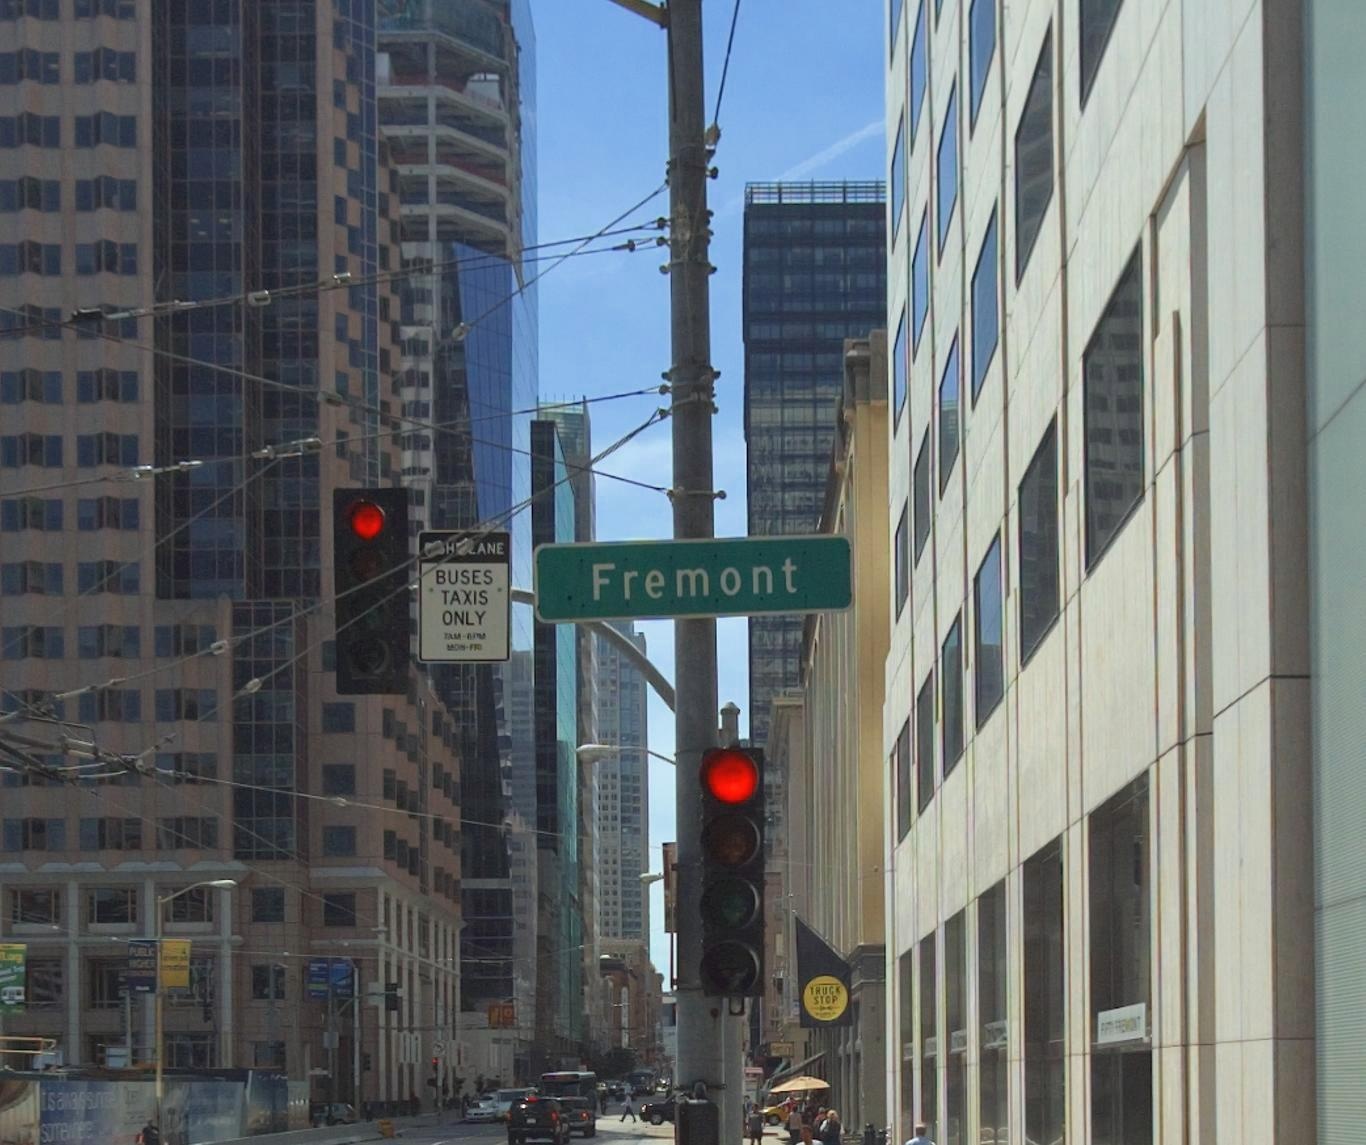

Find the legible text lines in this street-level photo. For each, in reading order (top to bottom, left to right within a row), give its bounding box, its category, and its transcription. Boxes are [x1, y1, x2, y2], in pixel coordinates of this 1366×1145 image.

[446, 540, 504, 557] None: H**ANE
[435, 568, 495, 586] None: BUSES
[589, 554, 802, 604] StreetName: Fremont
[439, 588, 490, 607] None: TAXIS
[441, 608, 488, 627] None: ONLY
[442, 630, 487, 641] None: 7AM-6PM
[445, 641, 484, 654] None: MON-FRI
[128, 945, 155, 958] None: PUBLIC
[128, 958, 155, 969] None: HIGHER
[808, 984, 843, 996] None: TRUCK
[812, 996, 839, 1005] None: STOP
[39, 1087, 95, 1113] None: *sa*ass
[39, 1120, 70, 1144] None: some